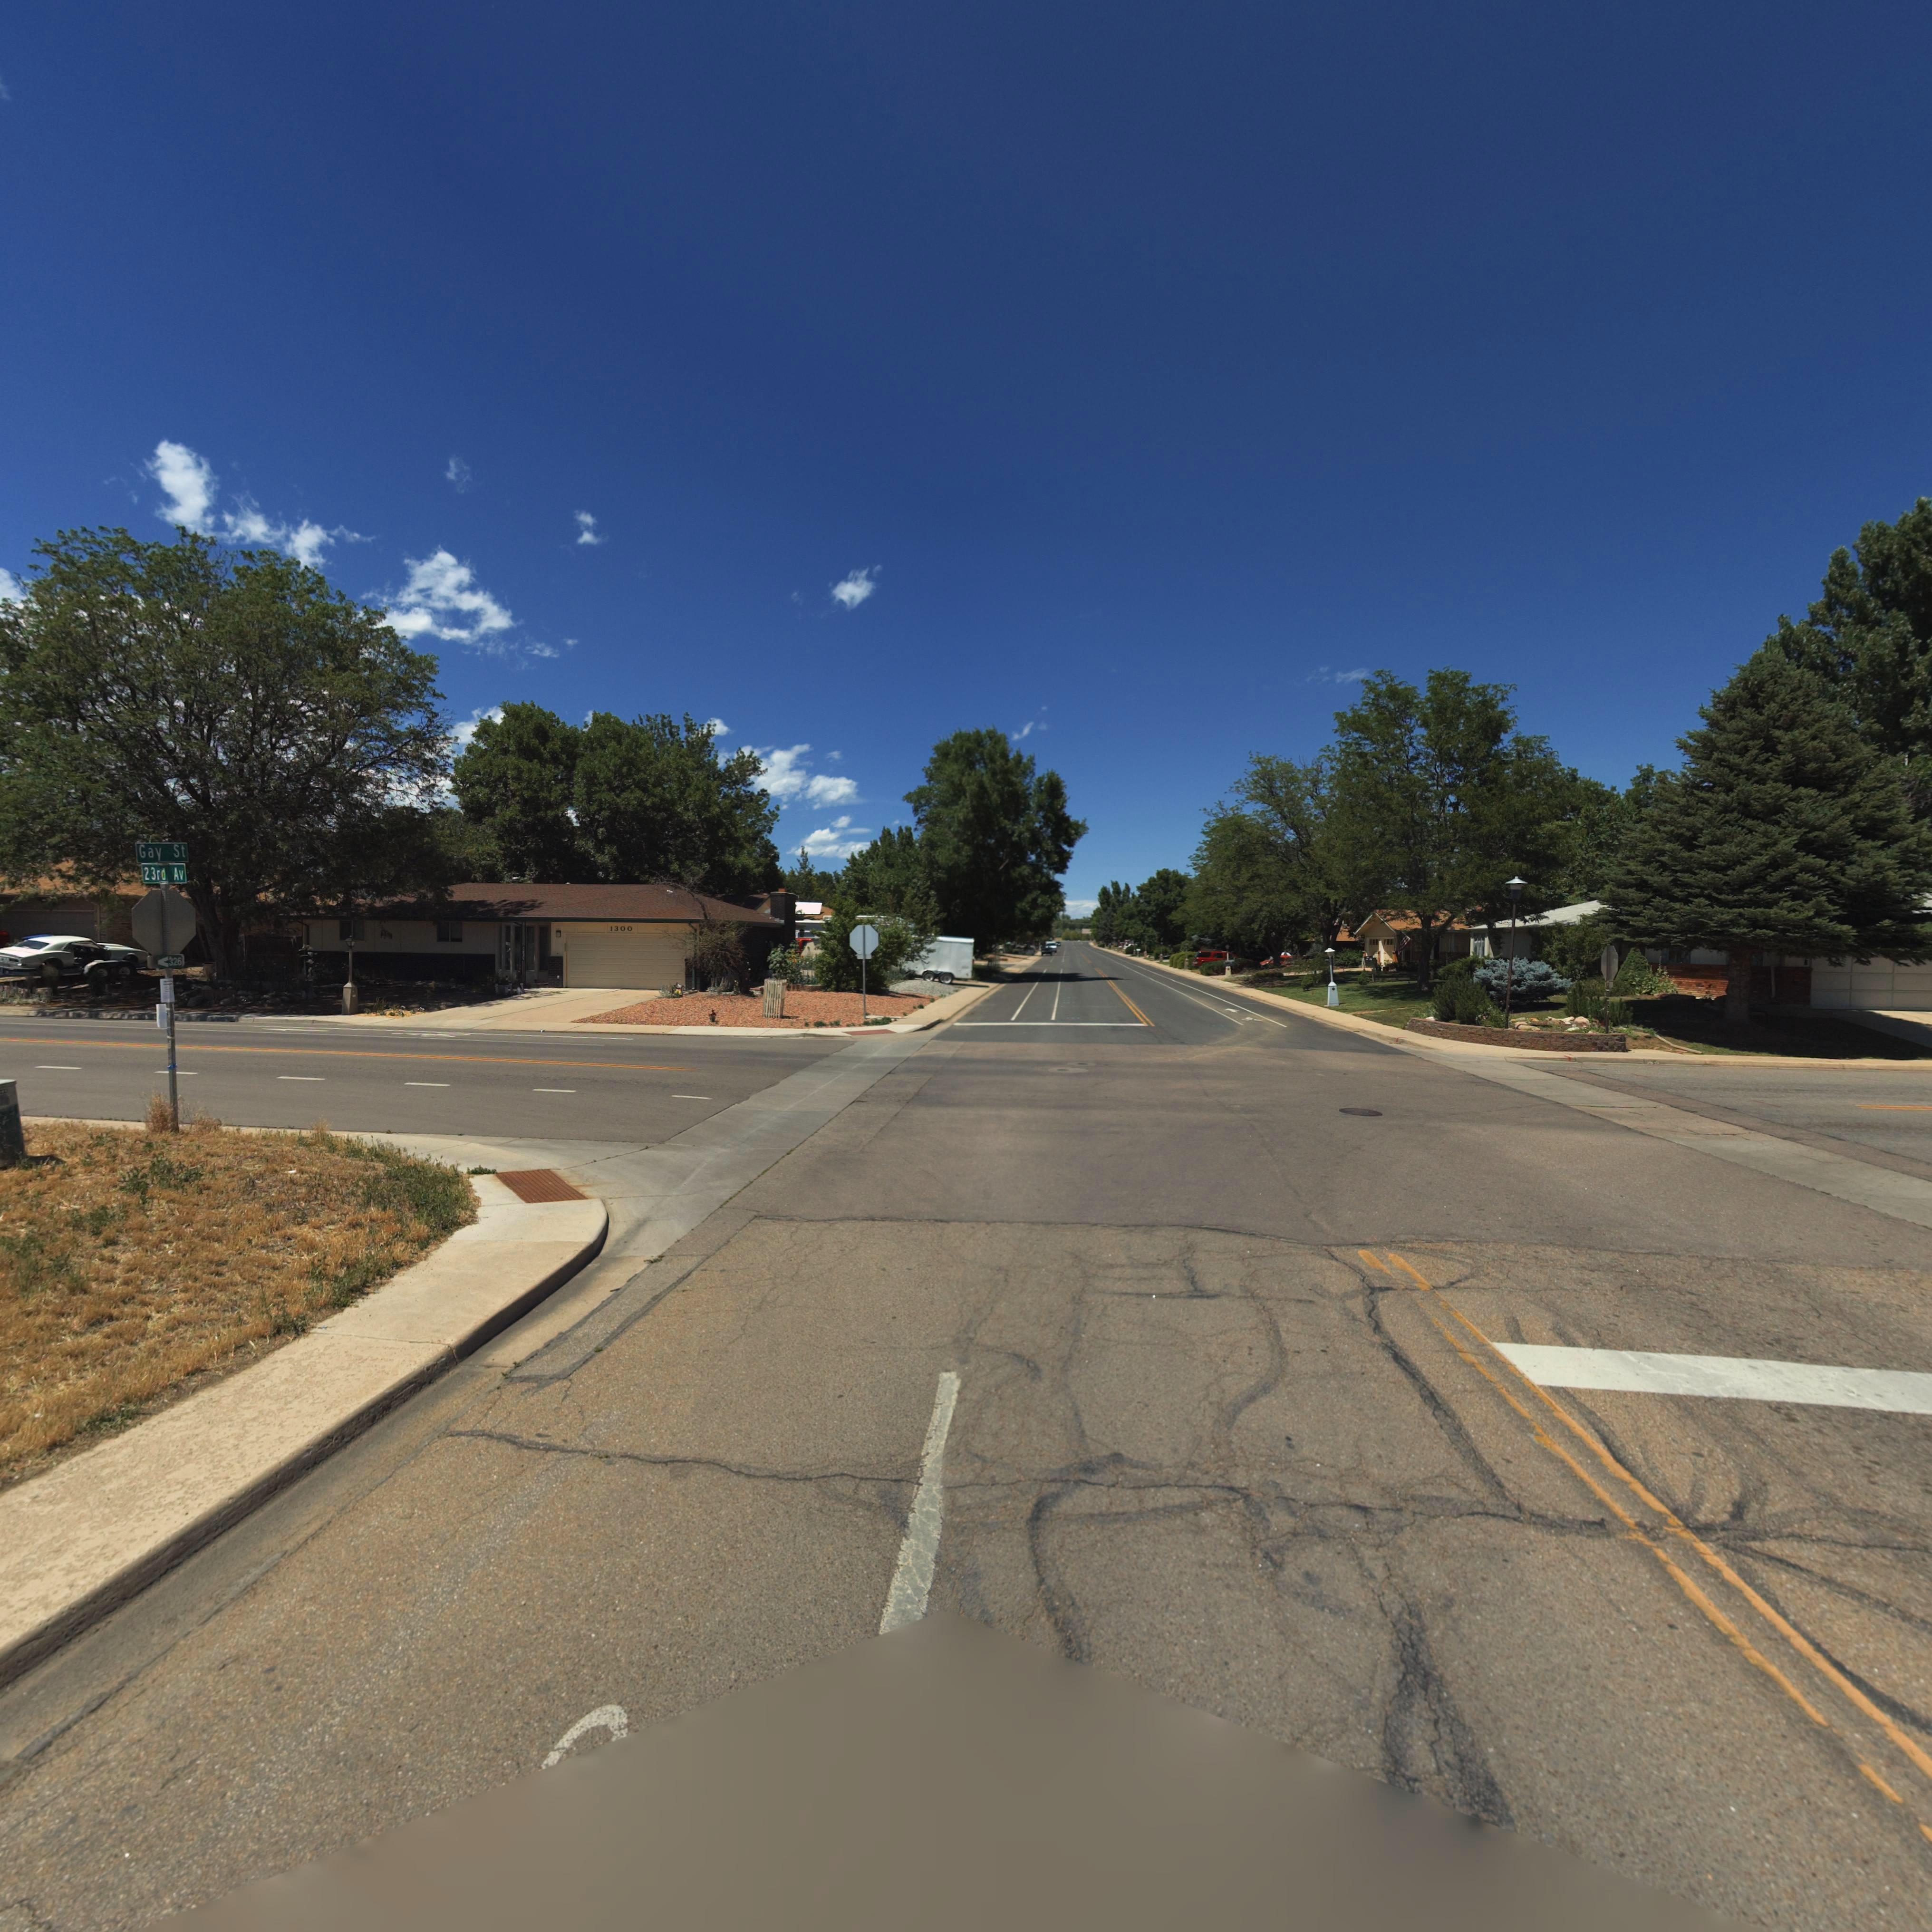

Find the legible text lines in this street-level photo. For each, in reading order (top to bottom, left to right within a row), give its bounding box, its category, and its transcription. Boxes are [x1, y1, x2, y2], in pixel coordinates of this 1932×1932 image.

[138, 843, 186, 861] StreetName: Gay St
[144, 866, 184, 880] StreetName: 23rd Av
[610, 926, 632, 931] StreetNumber: 1300
[168, 956, 181, 966] StreetNumberRange: 326